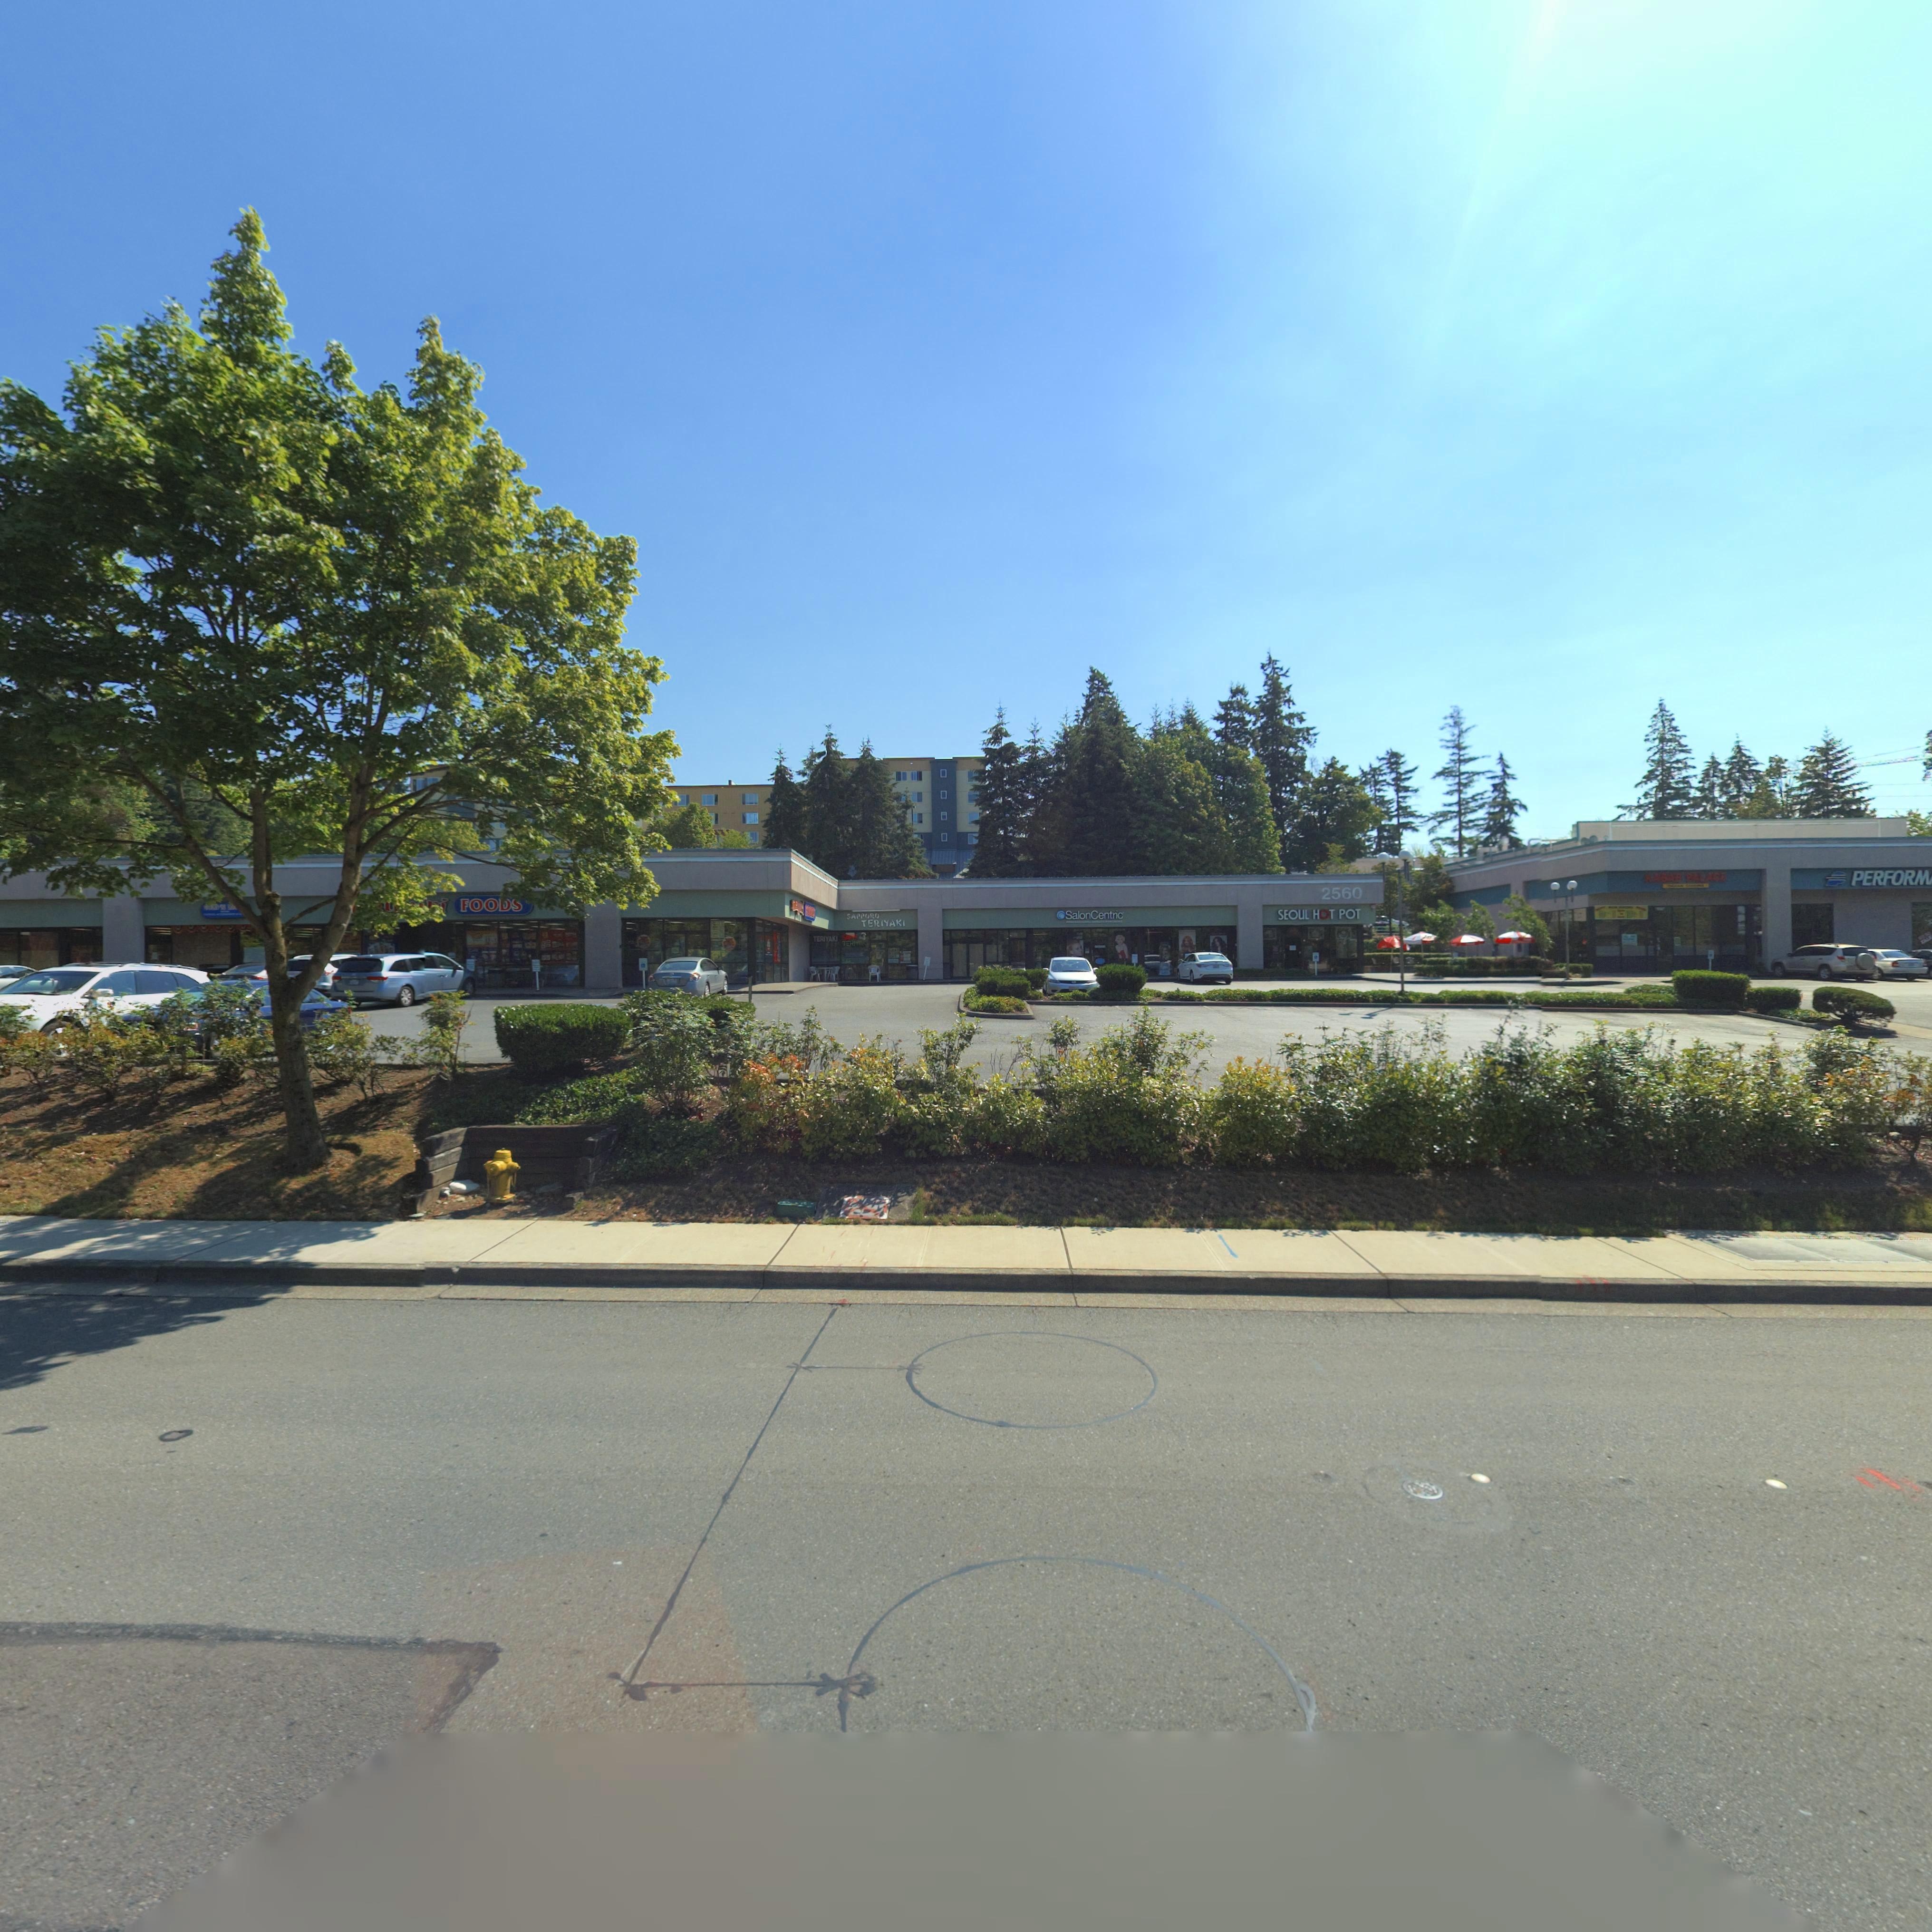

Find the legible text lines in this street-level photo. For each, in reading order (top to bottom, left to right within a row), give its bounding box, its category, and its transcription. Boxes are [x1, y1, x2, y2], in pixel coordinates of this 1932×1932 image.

[1849, 869, 1930, 887] BusinessName: PERFORM
[1321, 886, 1362, 900] StreetNumber: 2560
[460, 898, 498, 912] BusinessName: FOO
[846, 913, 879, 919] BusinessName: SAPPORO
[1065, 909, 1124, 920] BusinessName: SalonCentric
[1277, 908, 1361, 920] BusinessName: SEOUL HOT POT
[861, 919, 906, 927] BusinessName: TERIYAKI